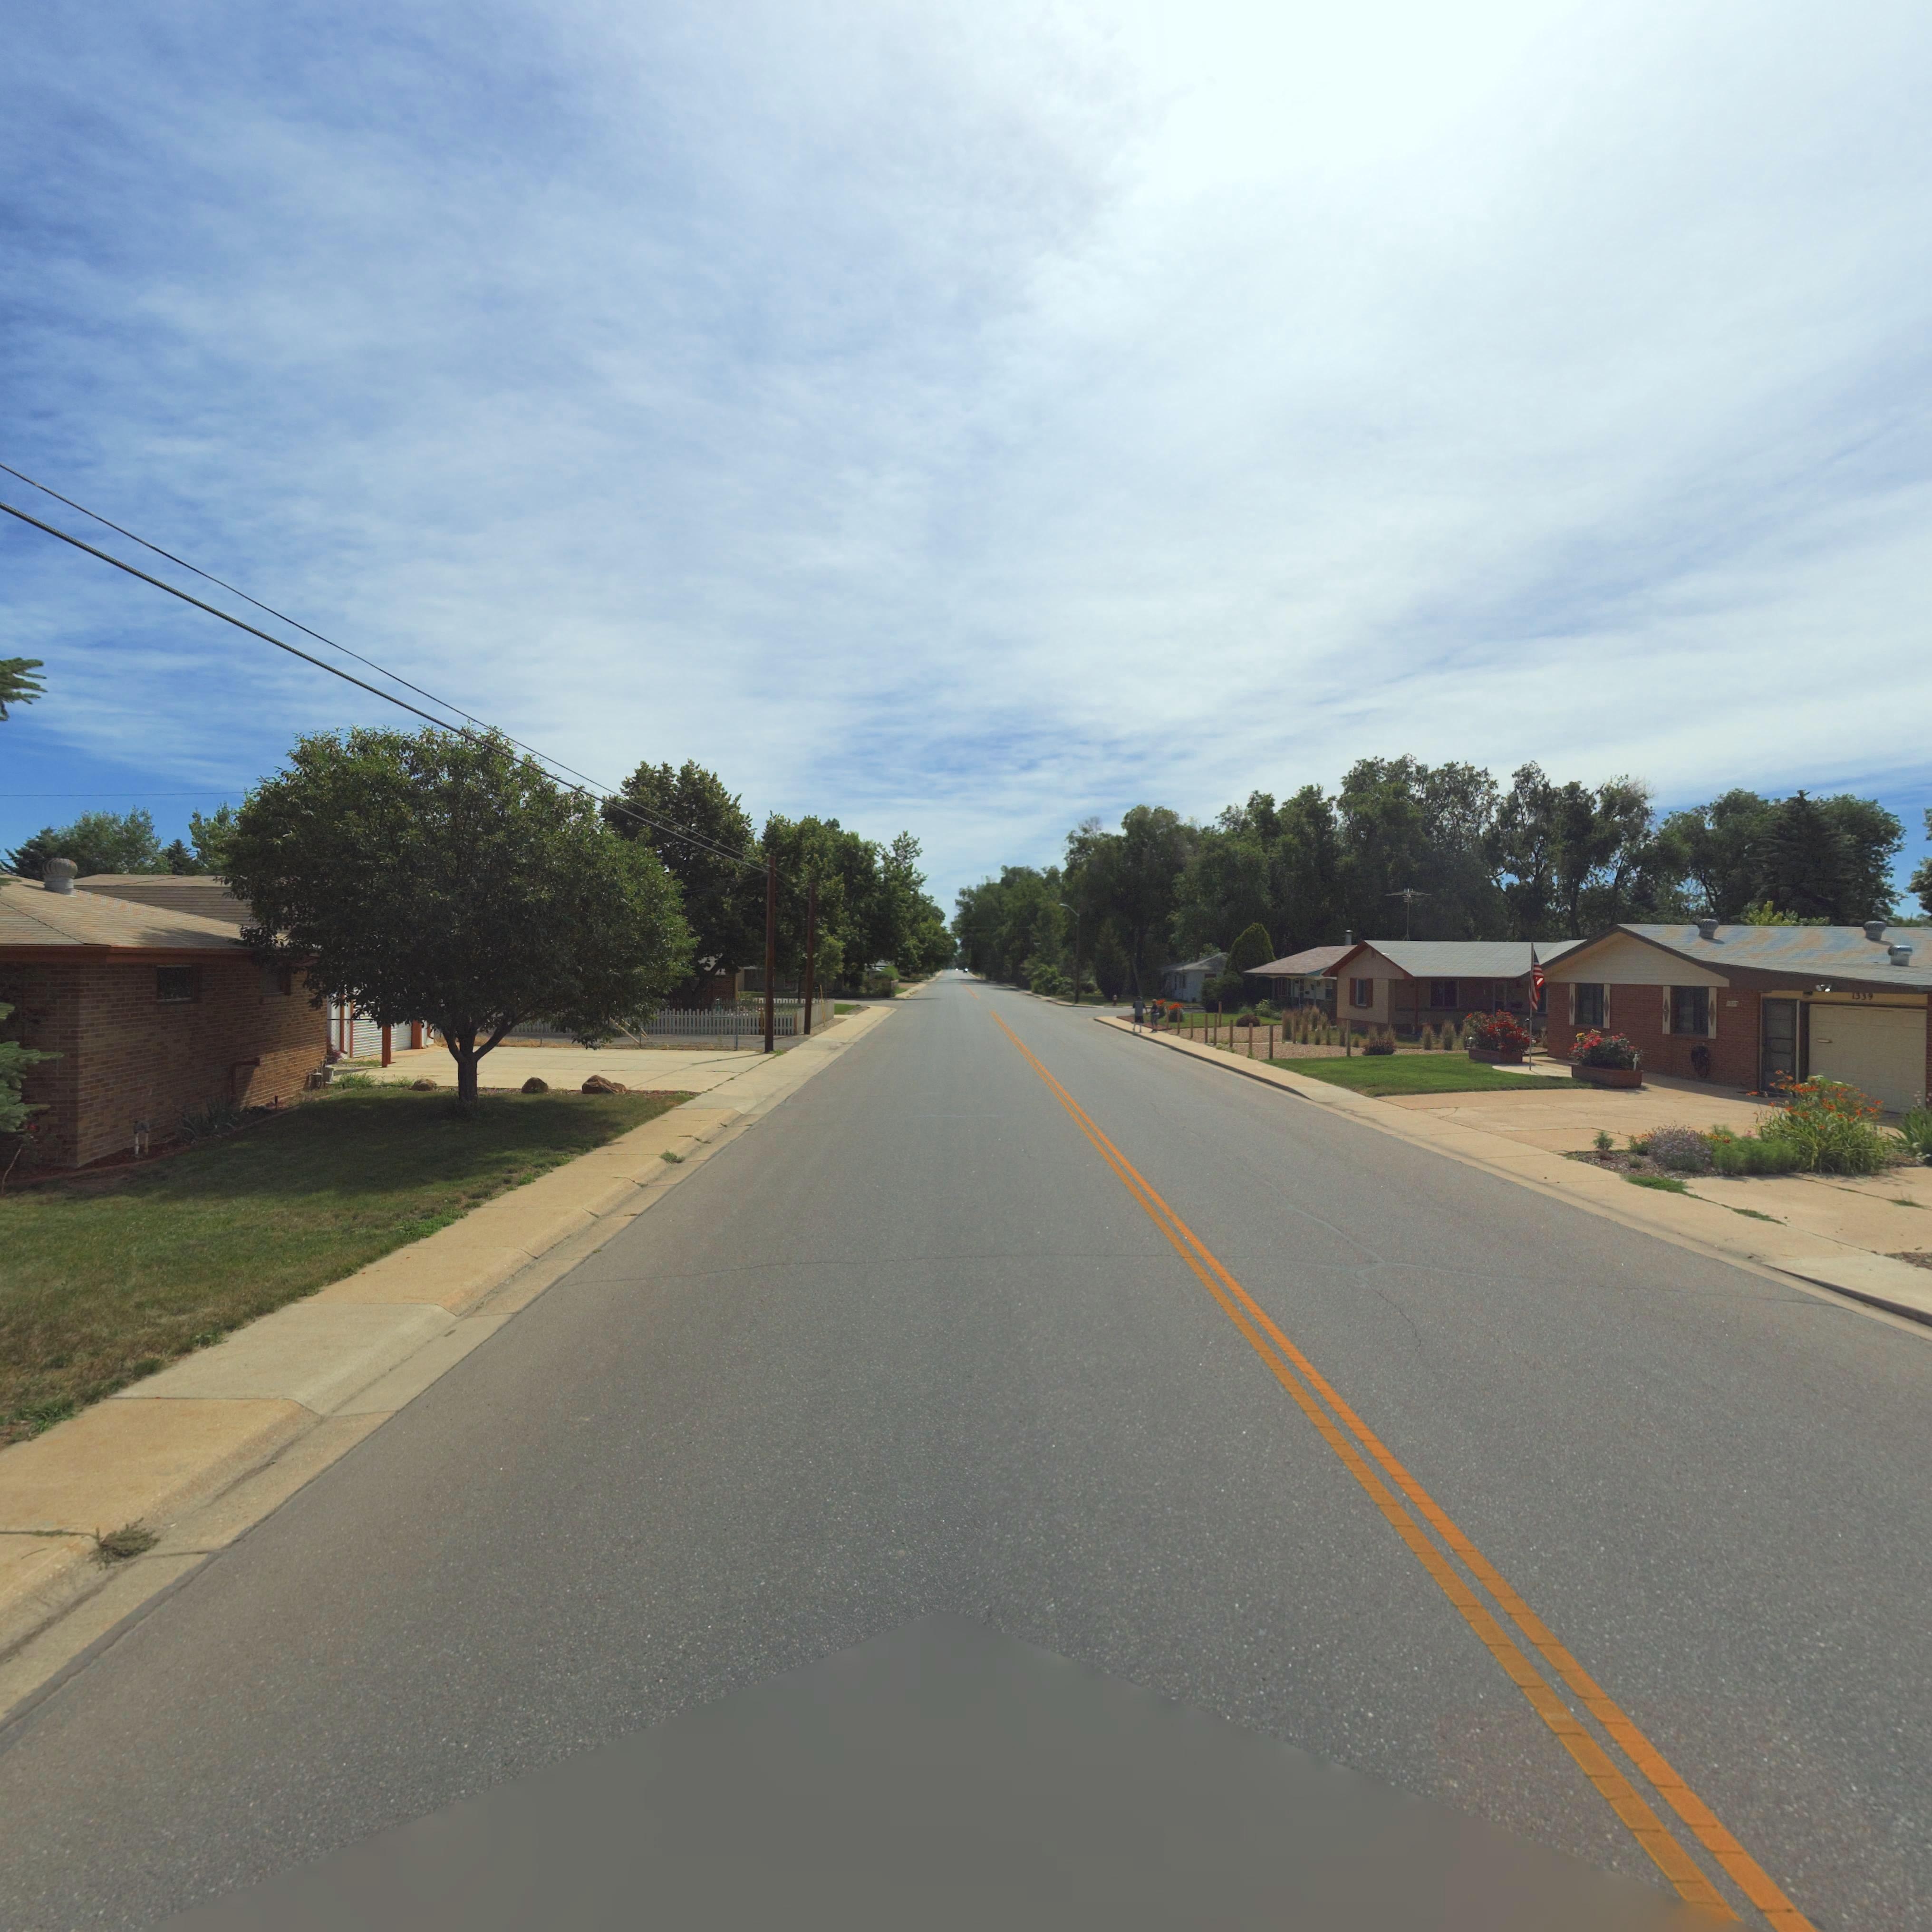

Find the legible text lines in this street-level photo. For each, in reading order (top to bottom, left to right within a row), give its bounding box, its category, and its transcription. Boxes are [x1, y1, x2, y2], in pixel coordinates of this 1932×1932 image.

[1851, 992, 1874, 1000] StreetNumber: 1339
[1726, 1000, 1739, 1006] StreetNumber: **3*